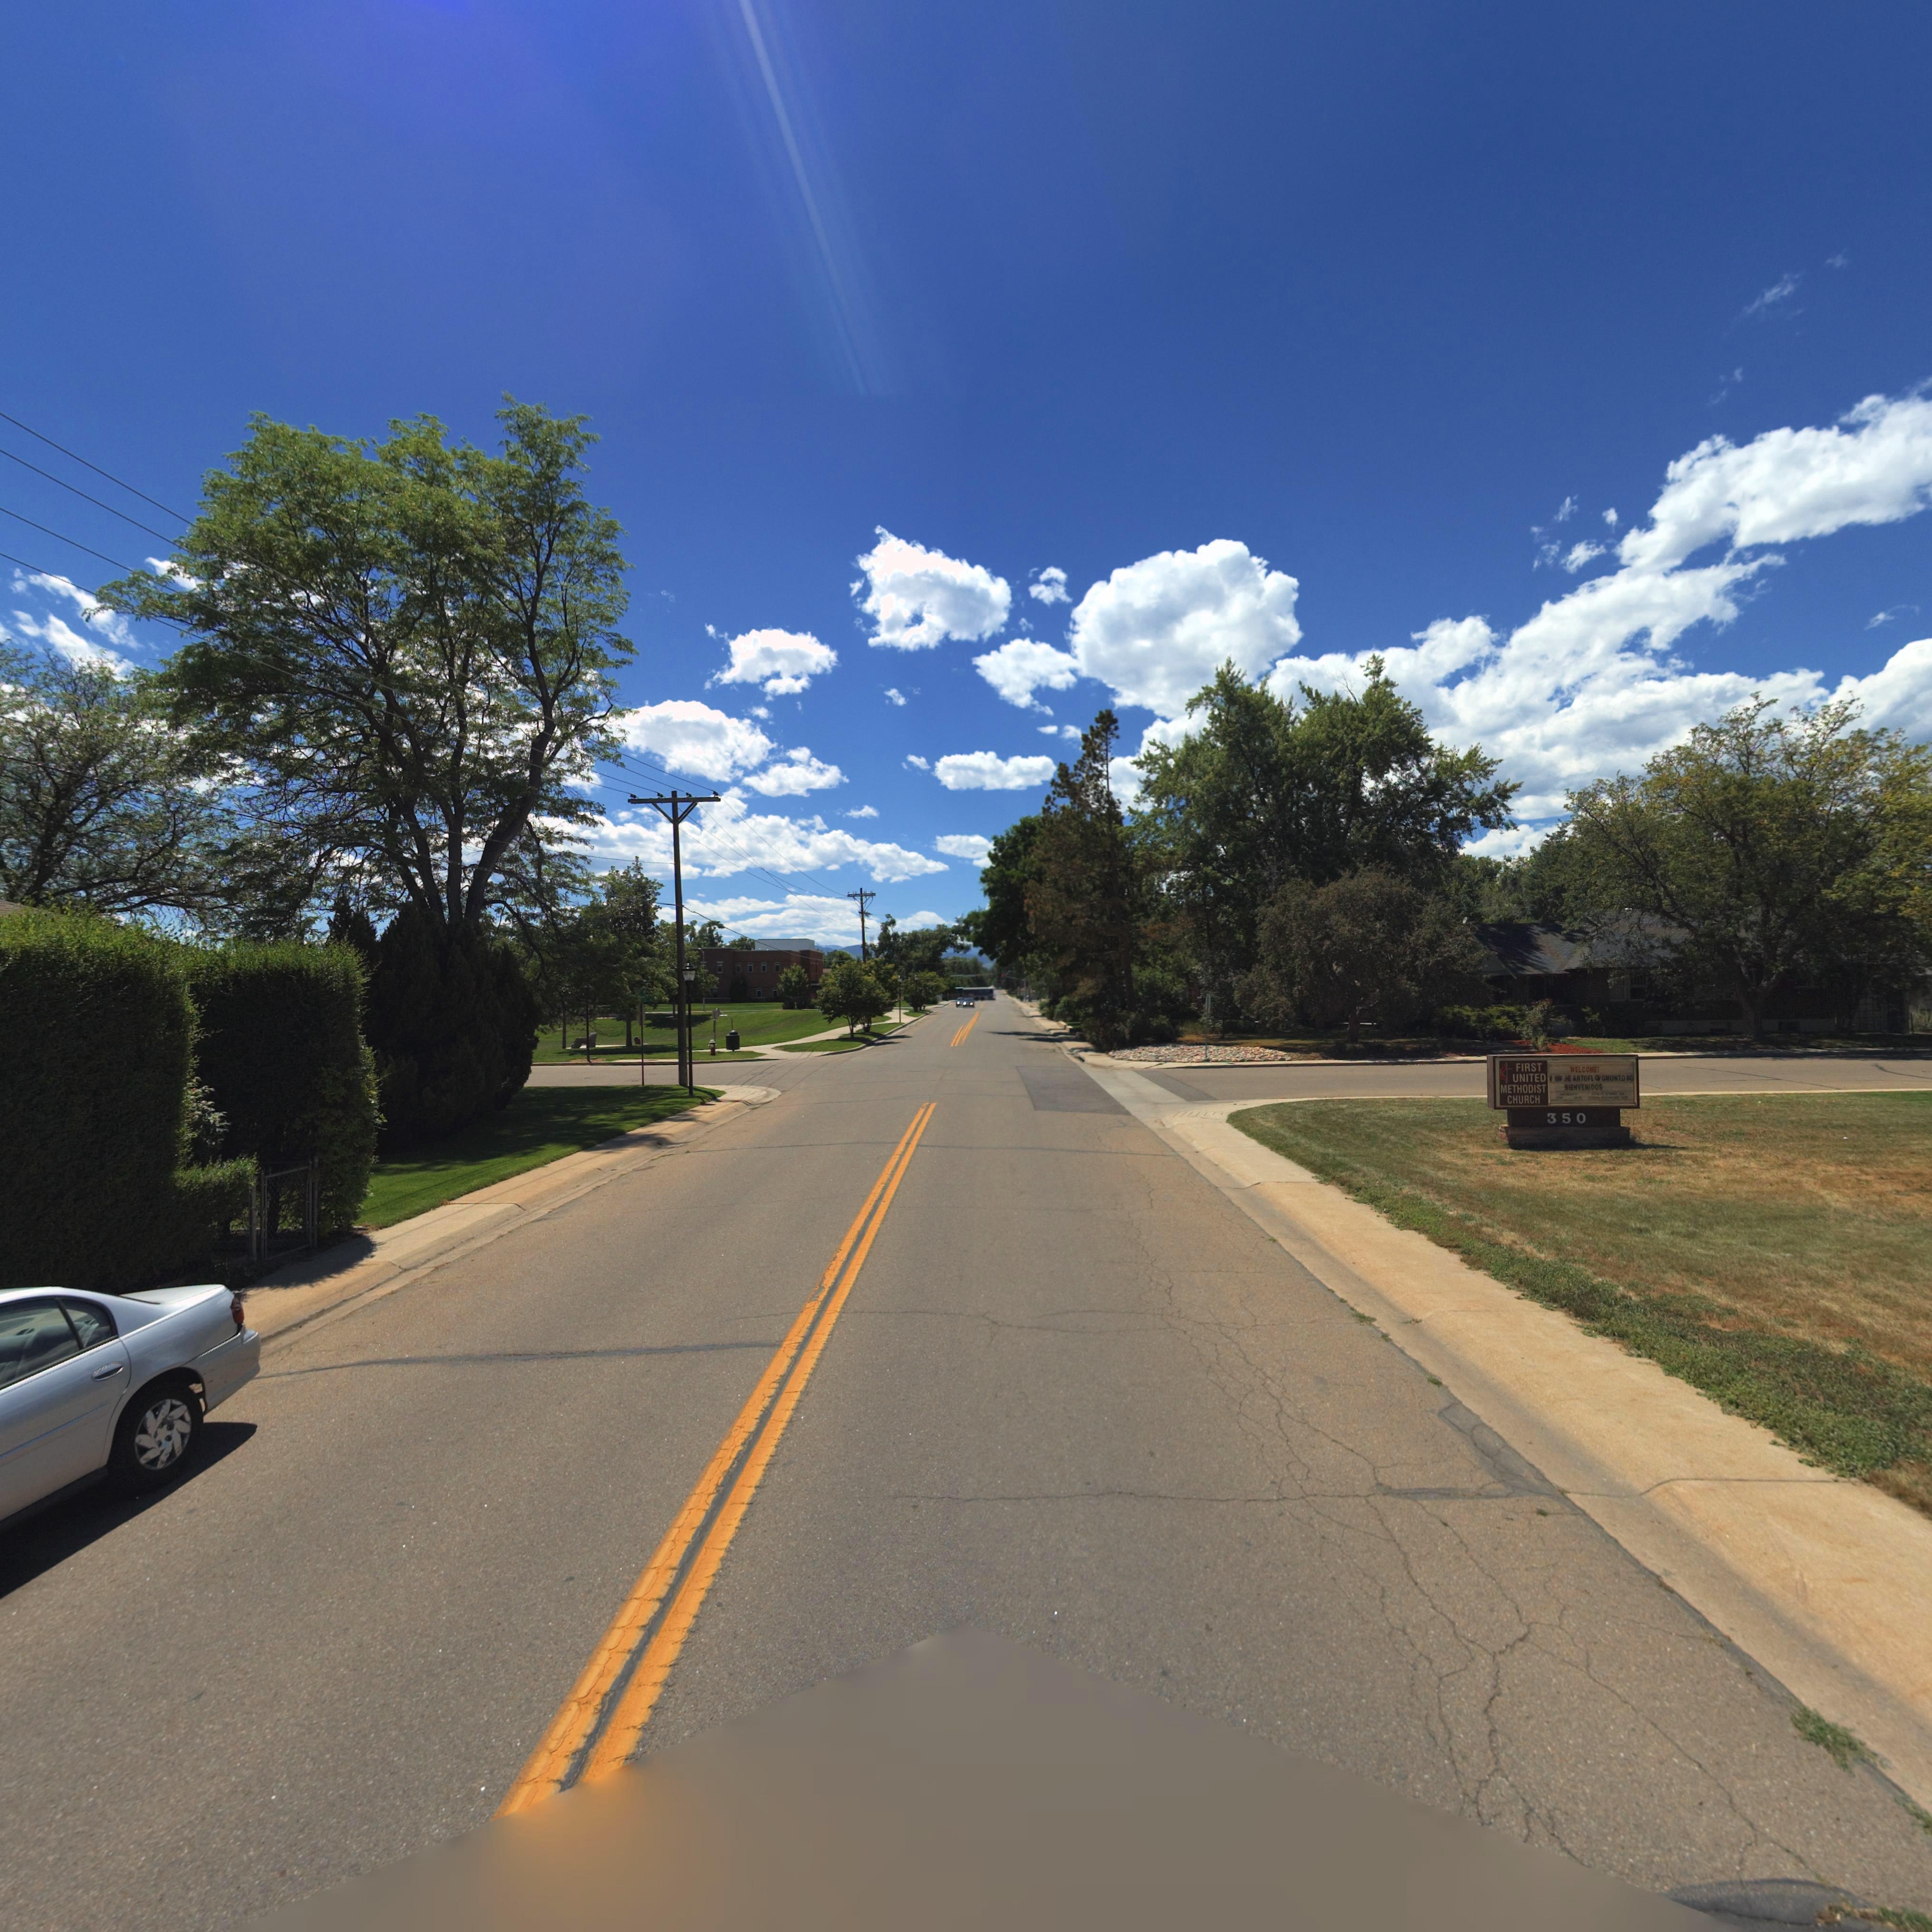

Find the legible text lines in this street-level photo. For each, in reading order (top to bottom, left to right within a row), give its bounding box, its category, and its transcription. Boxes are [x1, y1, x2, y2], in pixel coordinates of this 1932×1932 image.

[1515, 1063, 1542, 1072] BusinessName: FIRST
[1512, 1073, 1546, 1082] BusinessName: UNITED
[1500, 1084, 1546, 1094] BusinessName: METHODIST
[1507, 1095, 1540, 1105] BusinessName: CHURCH
[1546, 1112, 1586, 1124] StreetNumber: 350